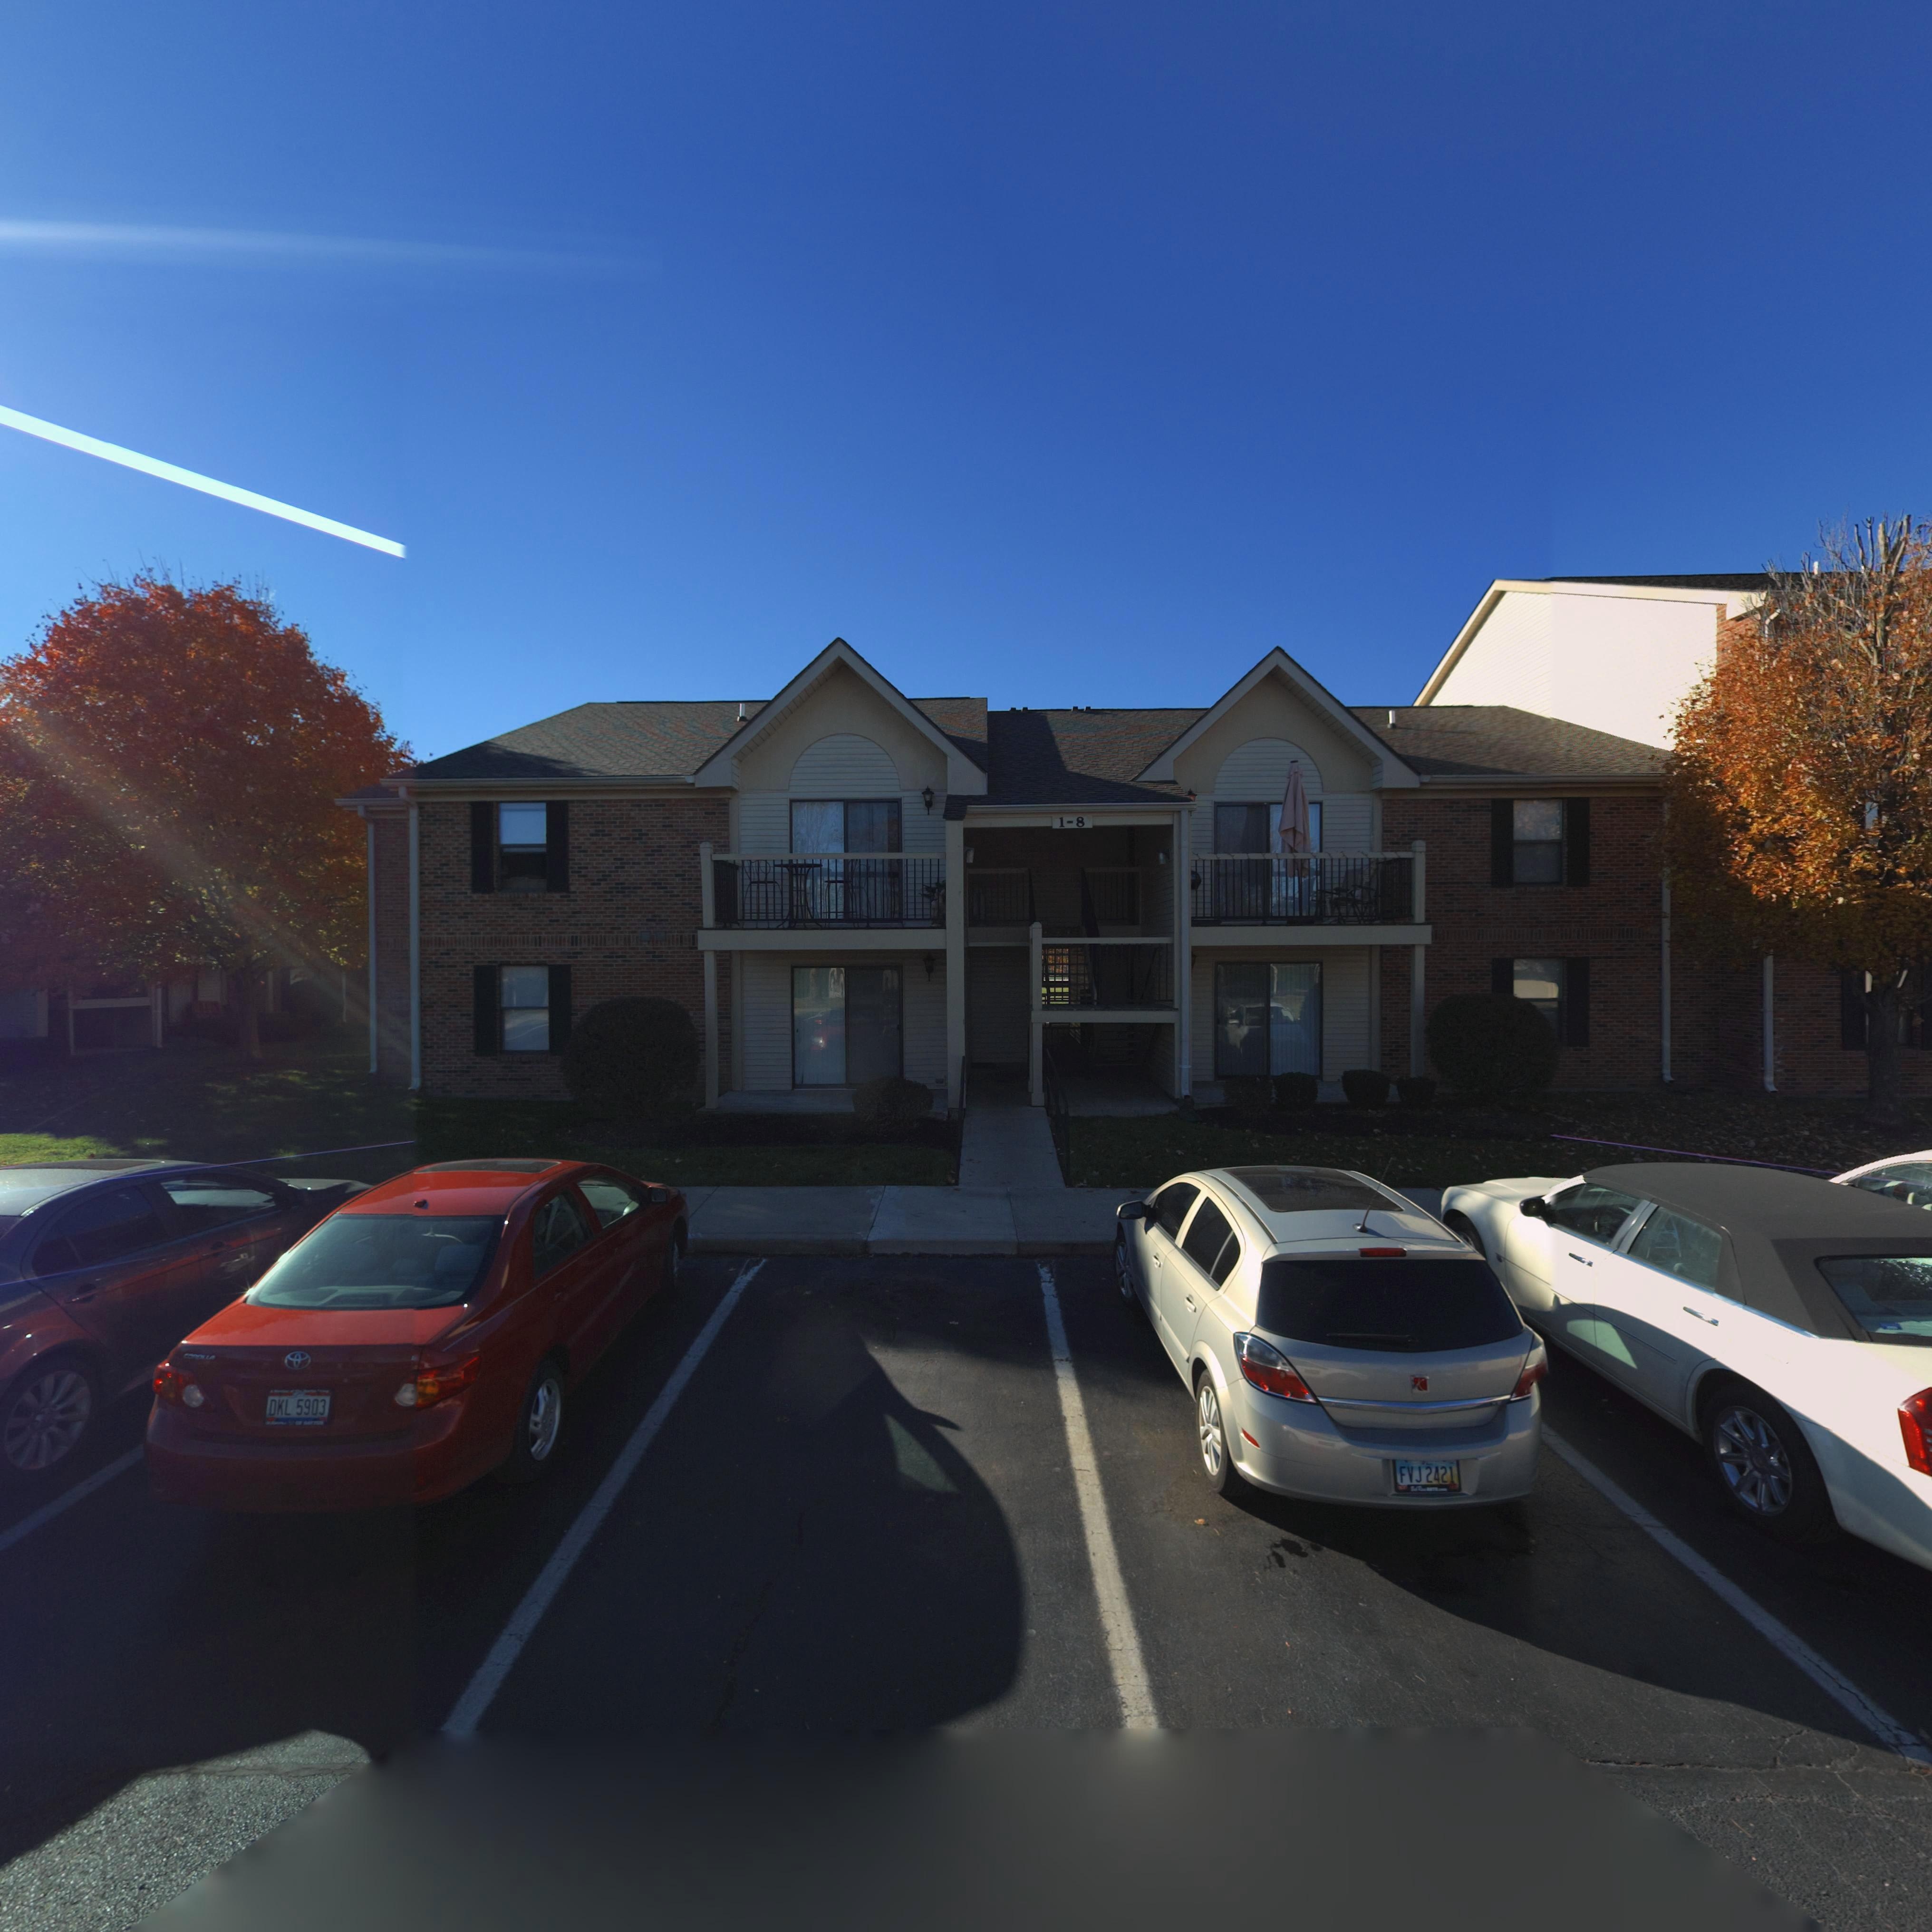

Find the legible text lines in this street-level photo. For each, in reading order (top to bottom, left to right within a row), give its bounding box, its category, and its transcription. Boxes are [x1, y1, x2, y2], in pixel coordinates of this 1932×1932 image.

[1057, 815, 1085, 827] StreetNumber: 1-8